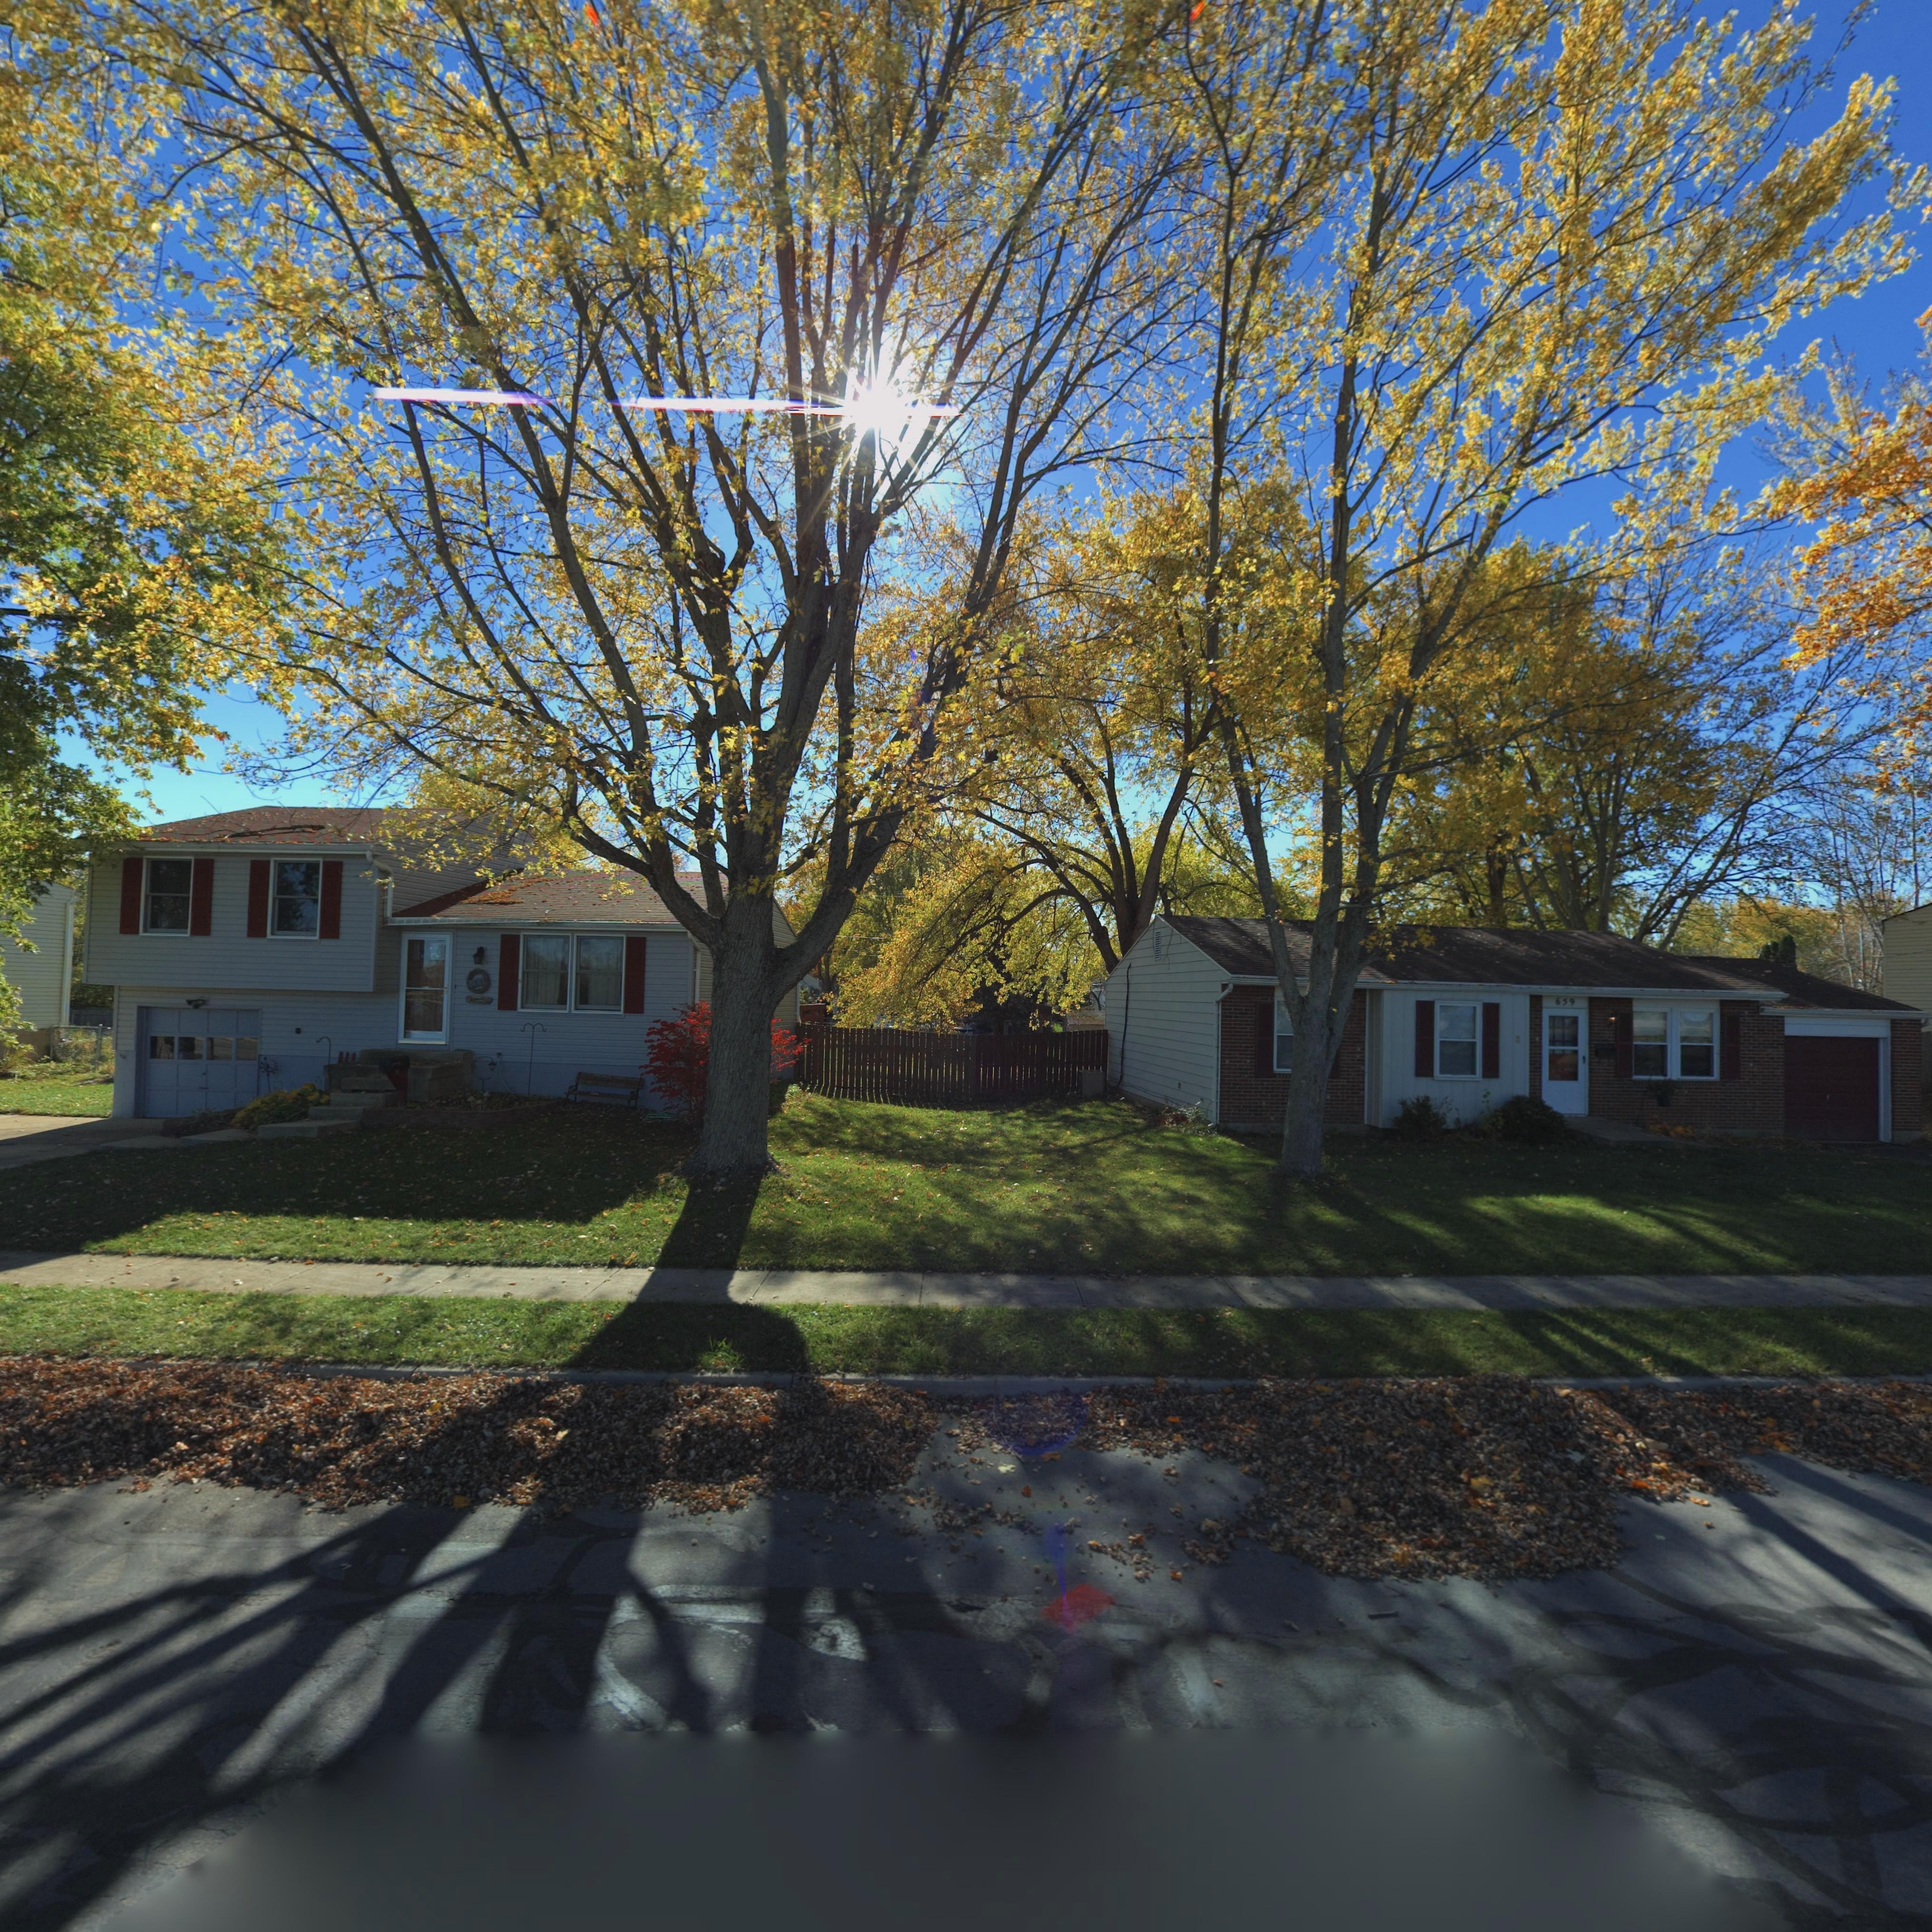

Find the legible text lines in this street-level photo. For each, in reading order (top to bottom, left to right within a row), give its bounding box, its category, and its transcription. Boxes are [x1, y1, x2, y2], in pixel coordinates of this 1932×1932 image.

[474, 978, 483, 987] StreetNumber: 57
[1555, 997, 1575, 1006] StreetNumber: 659